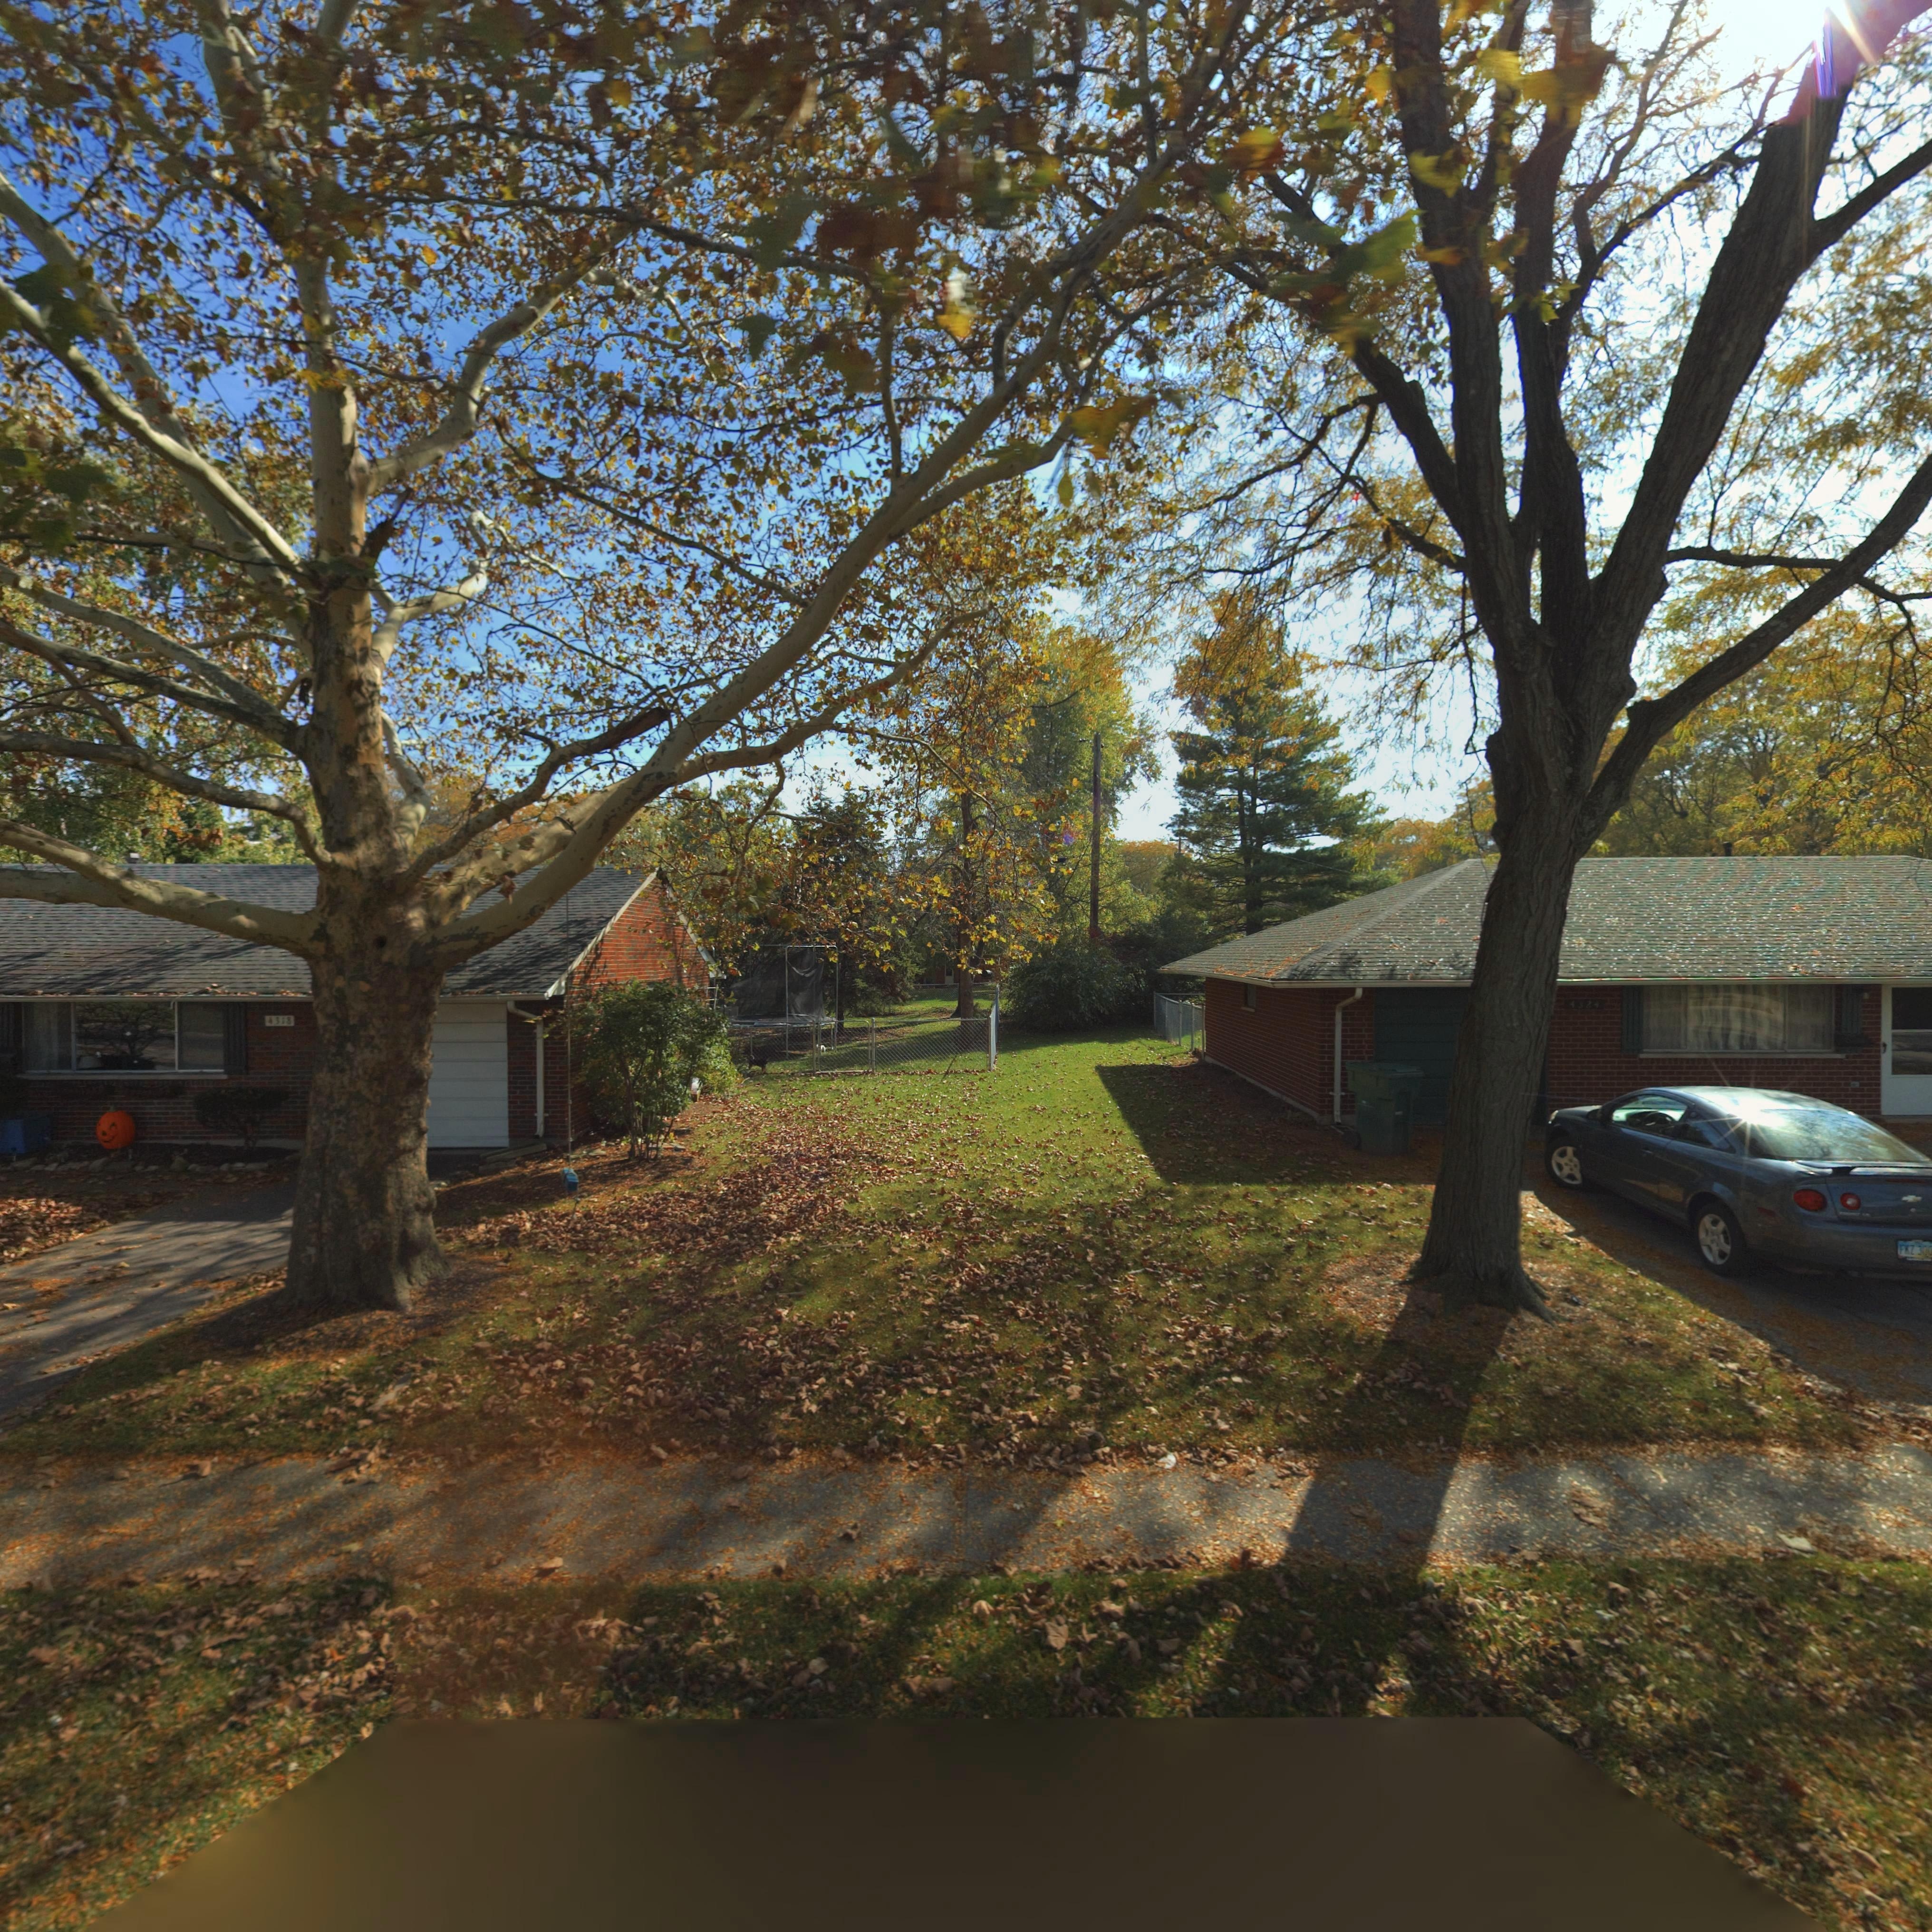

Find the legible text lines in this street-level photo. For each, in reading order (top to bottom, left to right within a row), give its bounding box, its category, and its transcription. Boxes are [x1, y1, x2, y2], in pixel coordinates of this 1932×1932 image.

[1567, 997, 1602, 1010] StreetNumber: 4*24
[266, 1015, 293, 1025] StreetNumber: 4318